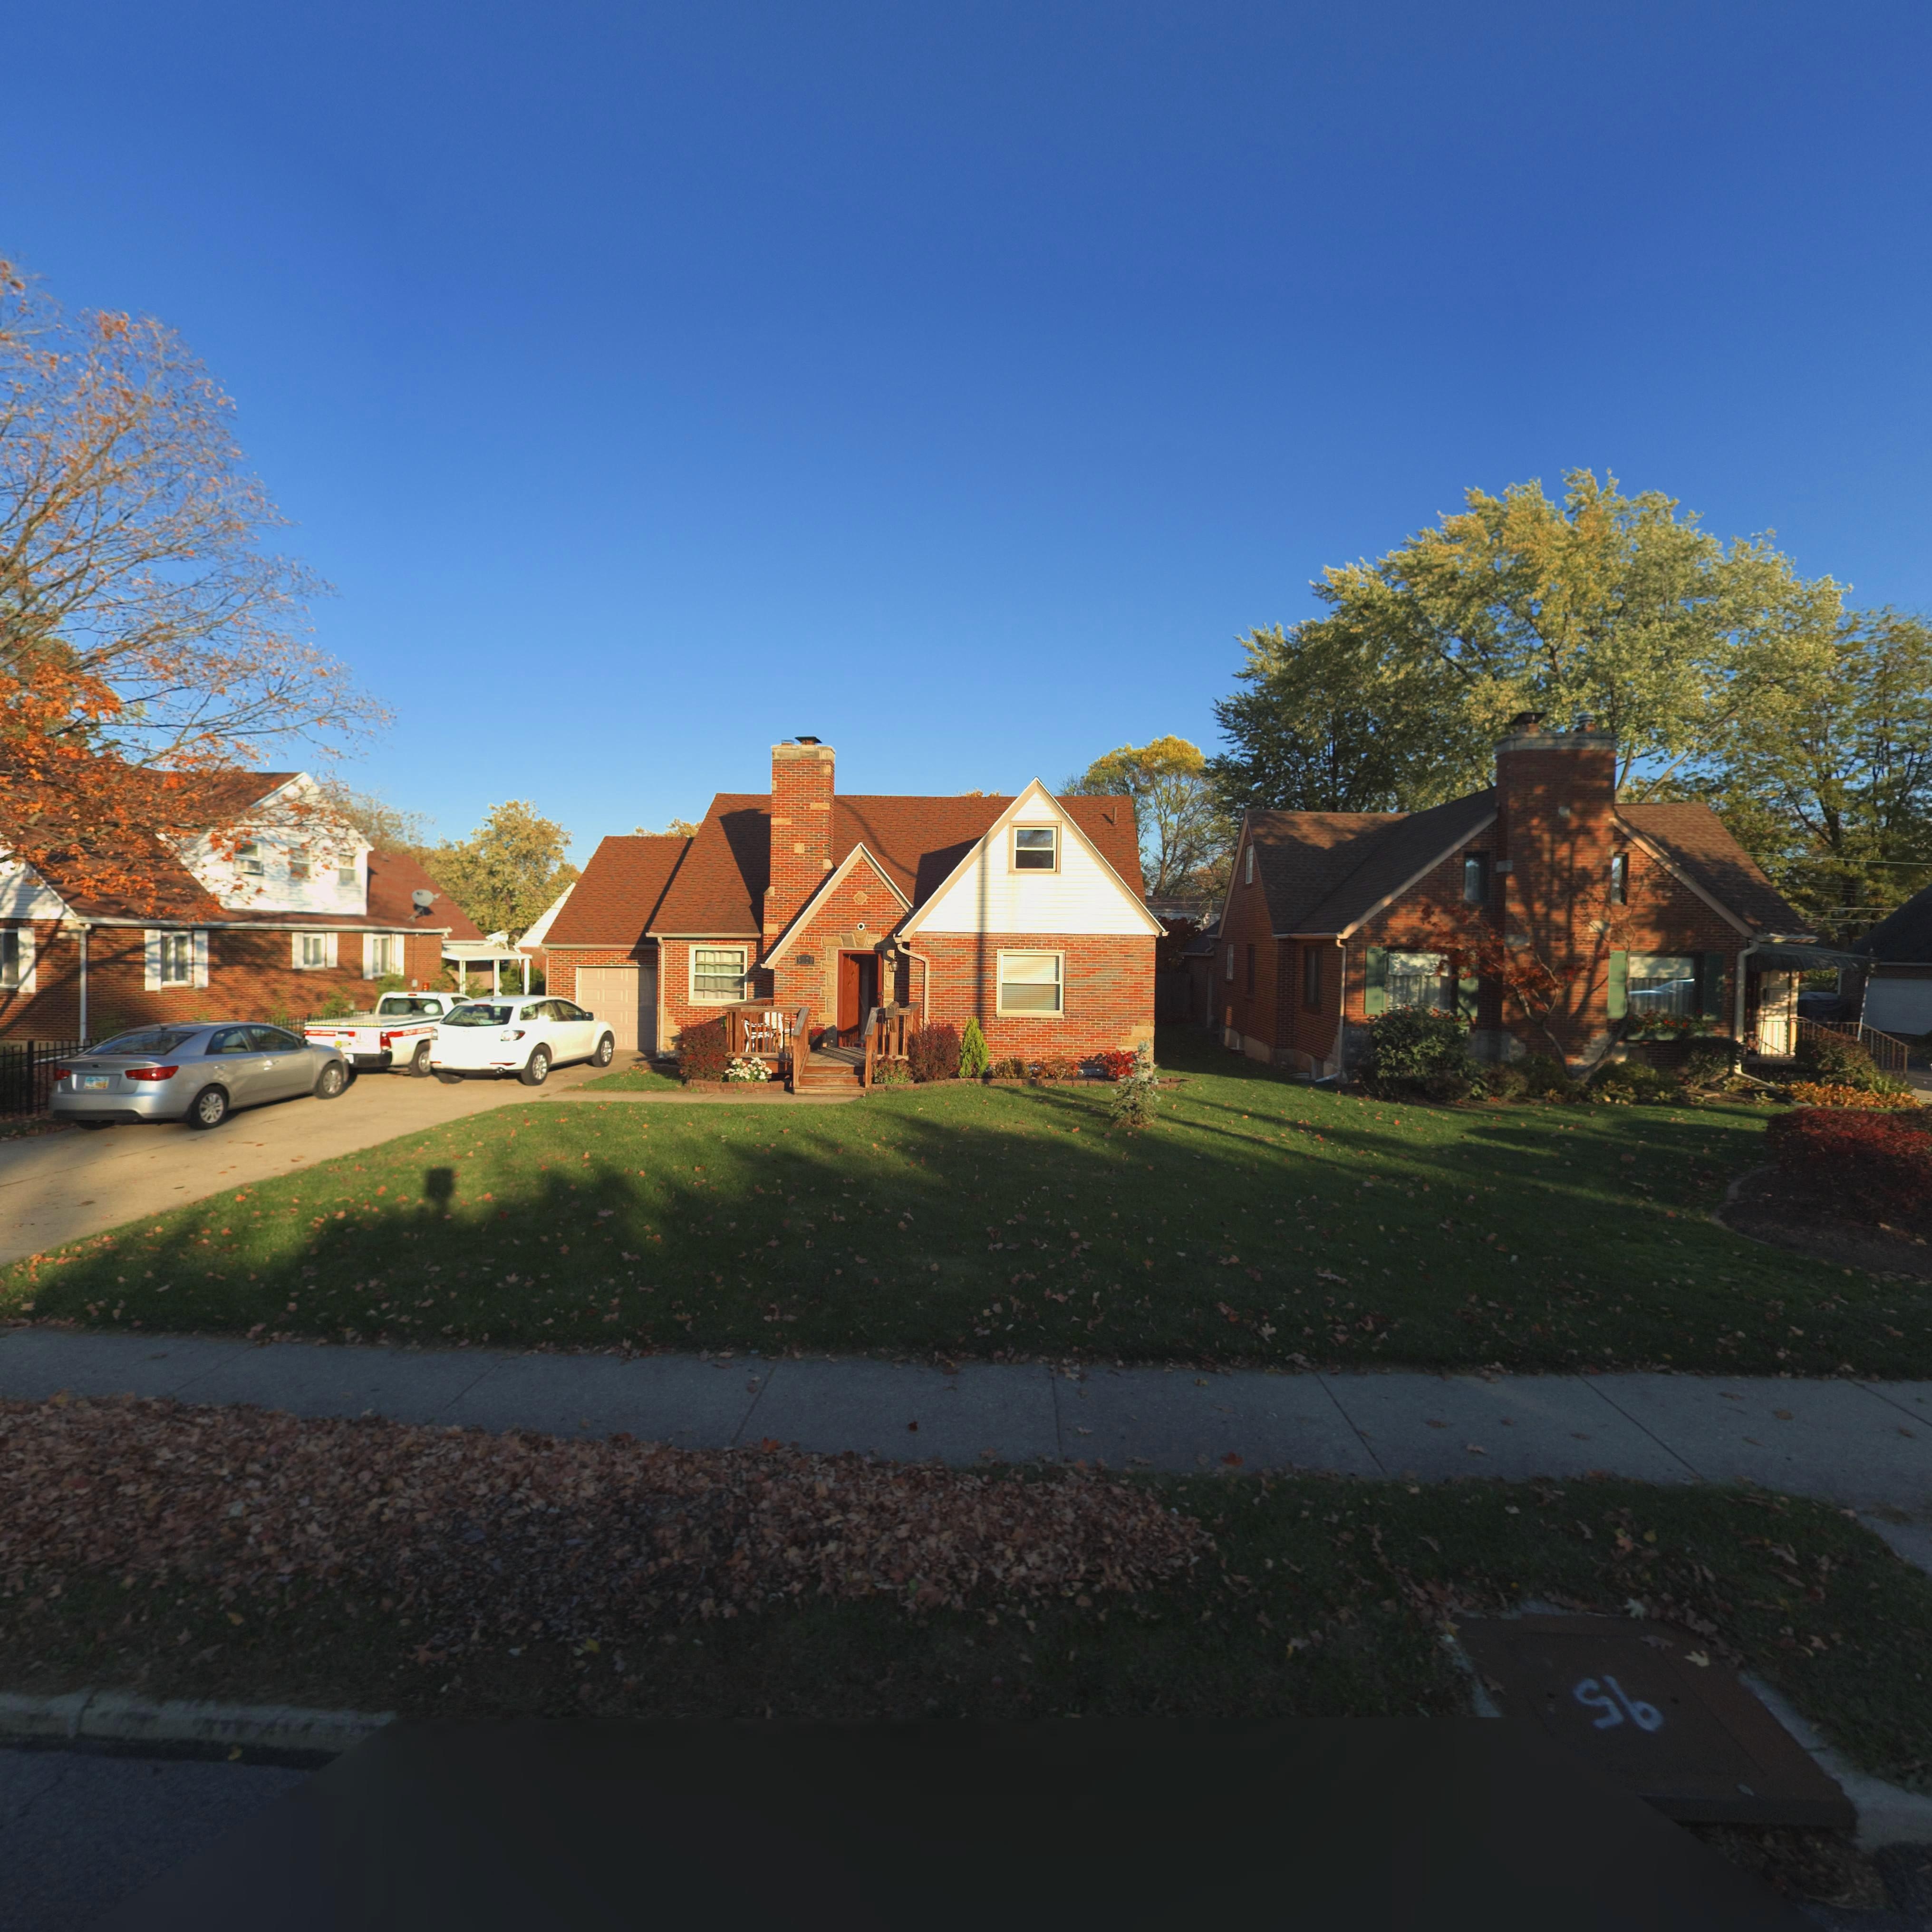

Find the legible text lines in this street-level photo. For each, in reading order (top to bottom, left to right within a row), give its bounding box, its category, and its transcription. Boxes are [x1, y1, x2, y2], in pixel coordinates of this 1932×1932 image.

[797, 956, 814, 965] StreetNumber: 3220